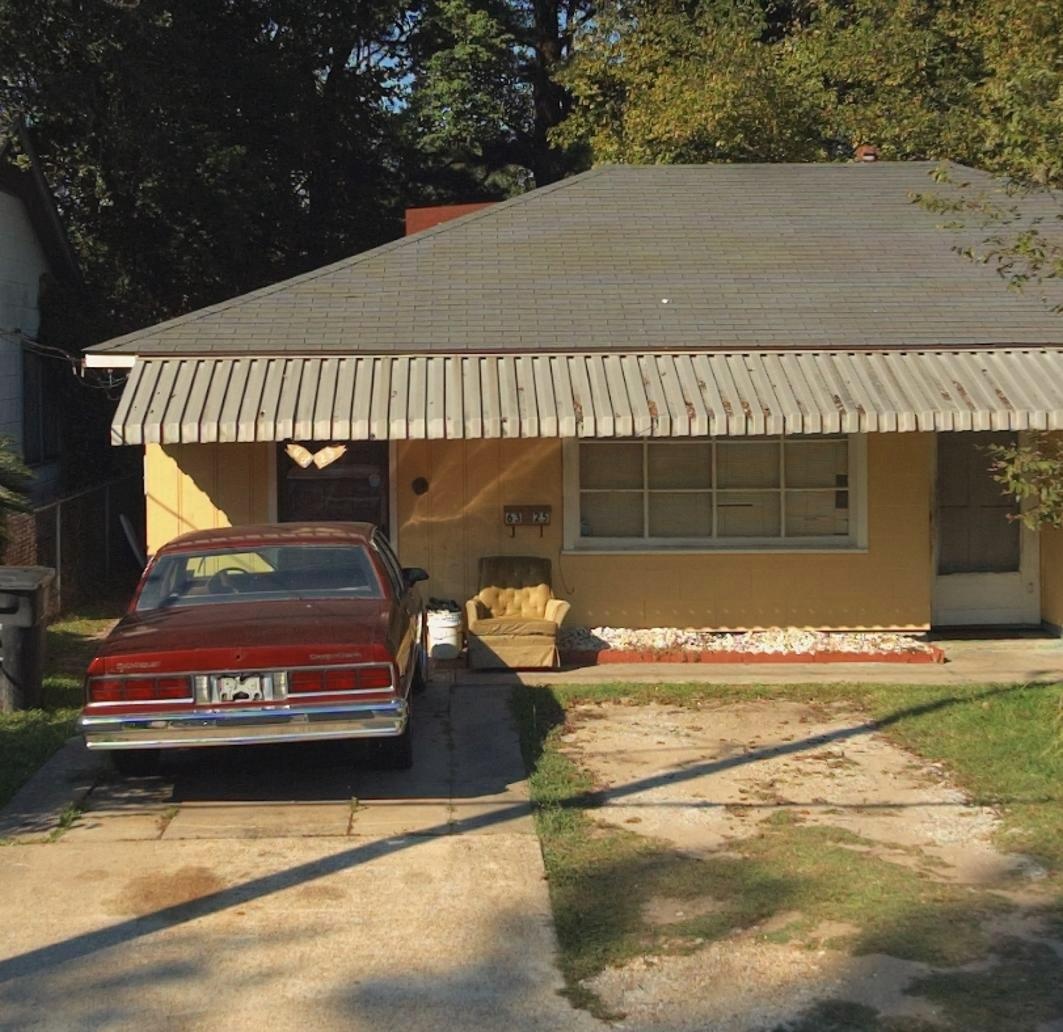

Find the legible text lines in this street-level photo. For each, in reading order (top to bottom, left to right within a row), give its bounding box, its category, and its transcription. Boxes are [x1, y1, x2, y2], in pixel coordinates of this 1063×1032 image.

[506, 512, 550, 523] StreetNumber: 63 25